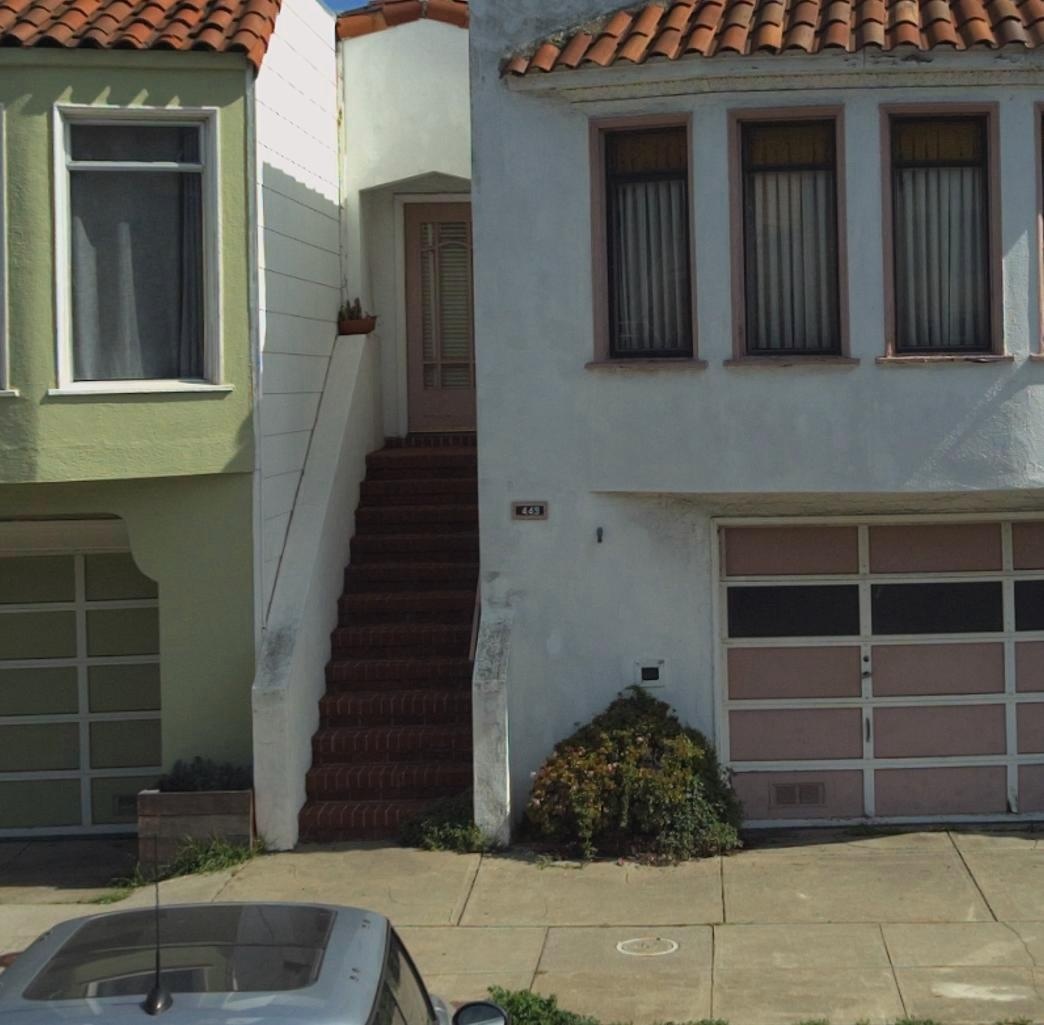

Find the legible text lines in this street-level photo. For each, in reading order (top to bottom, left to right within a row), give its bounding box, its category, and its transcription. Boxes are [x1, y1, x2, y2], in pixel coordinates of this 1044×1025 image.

[520, 504, 542, 517] StreetNumber: 449